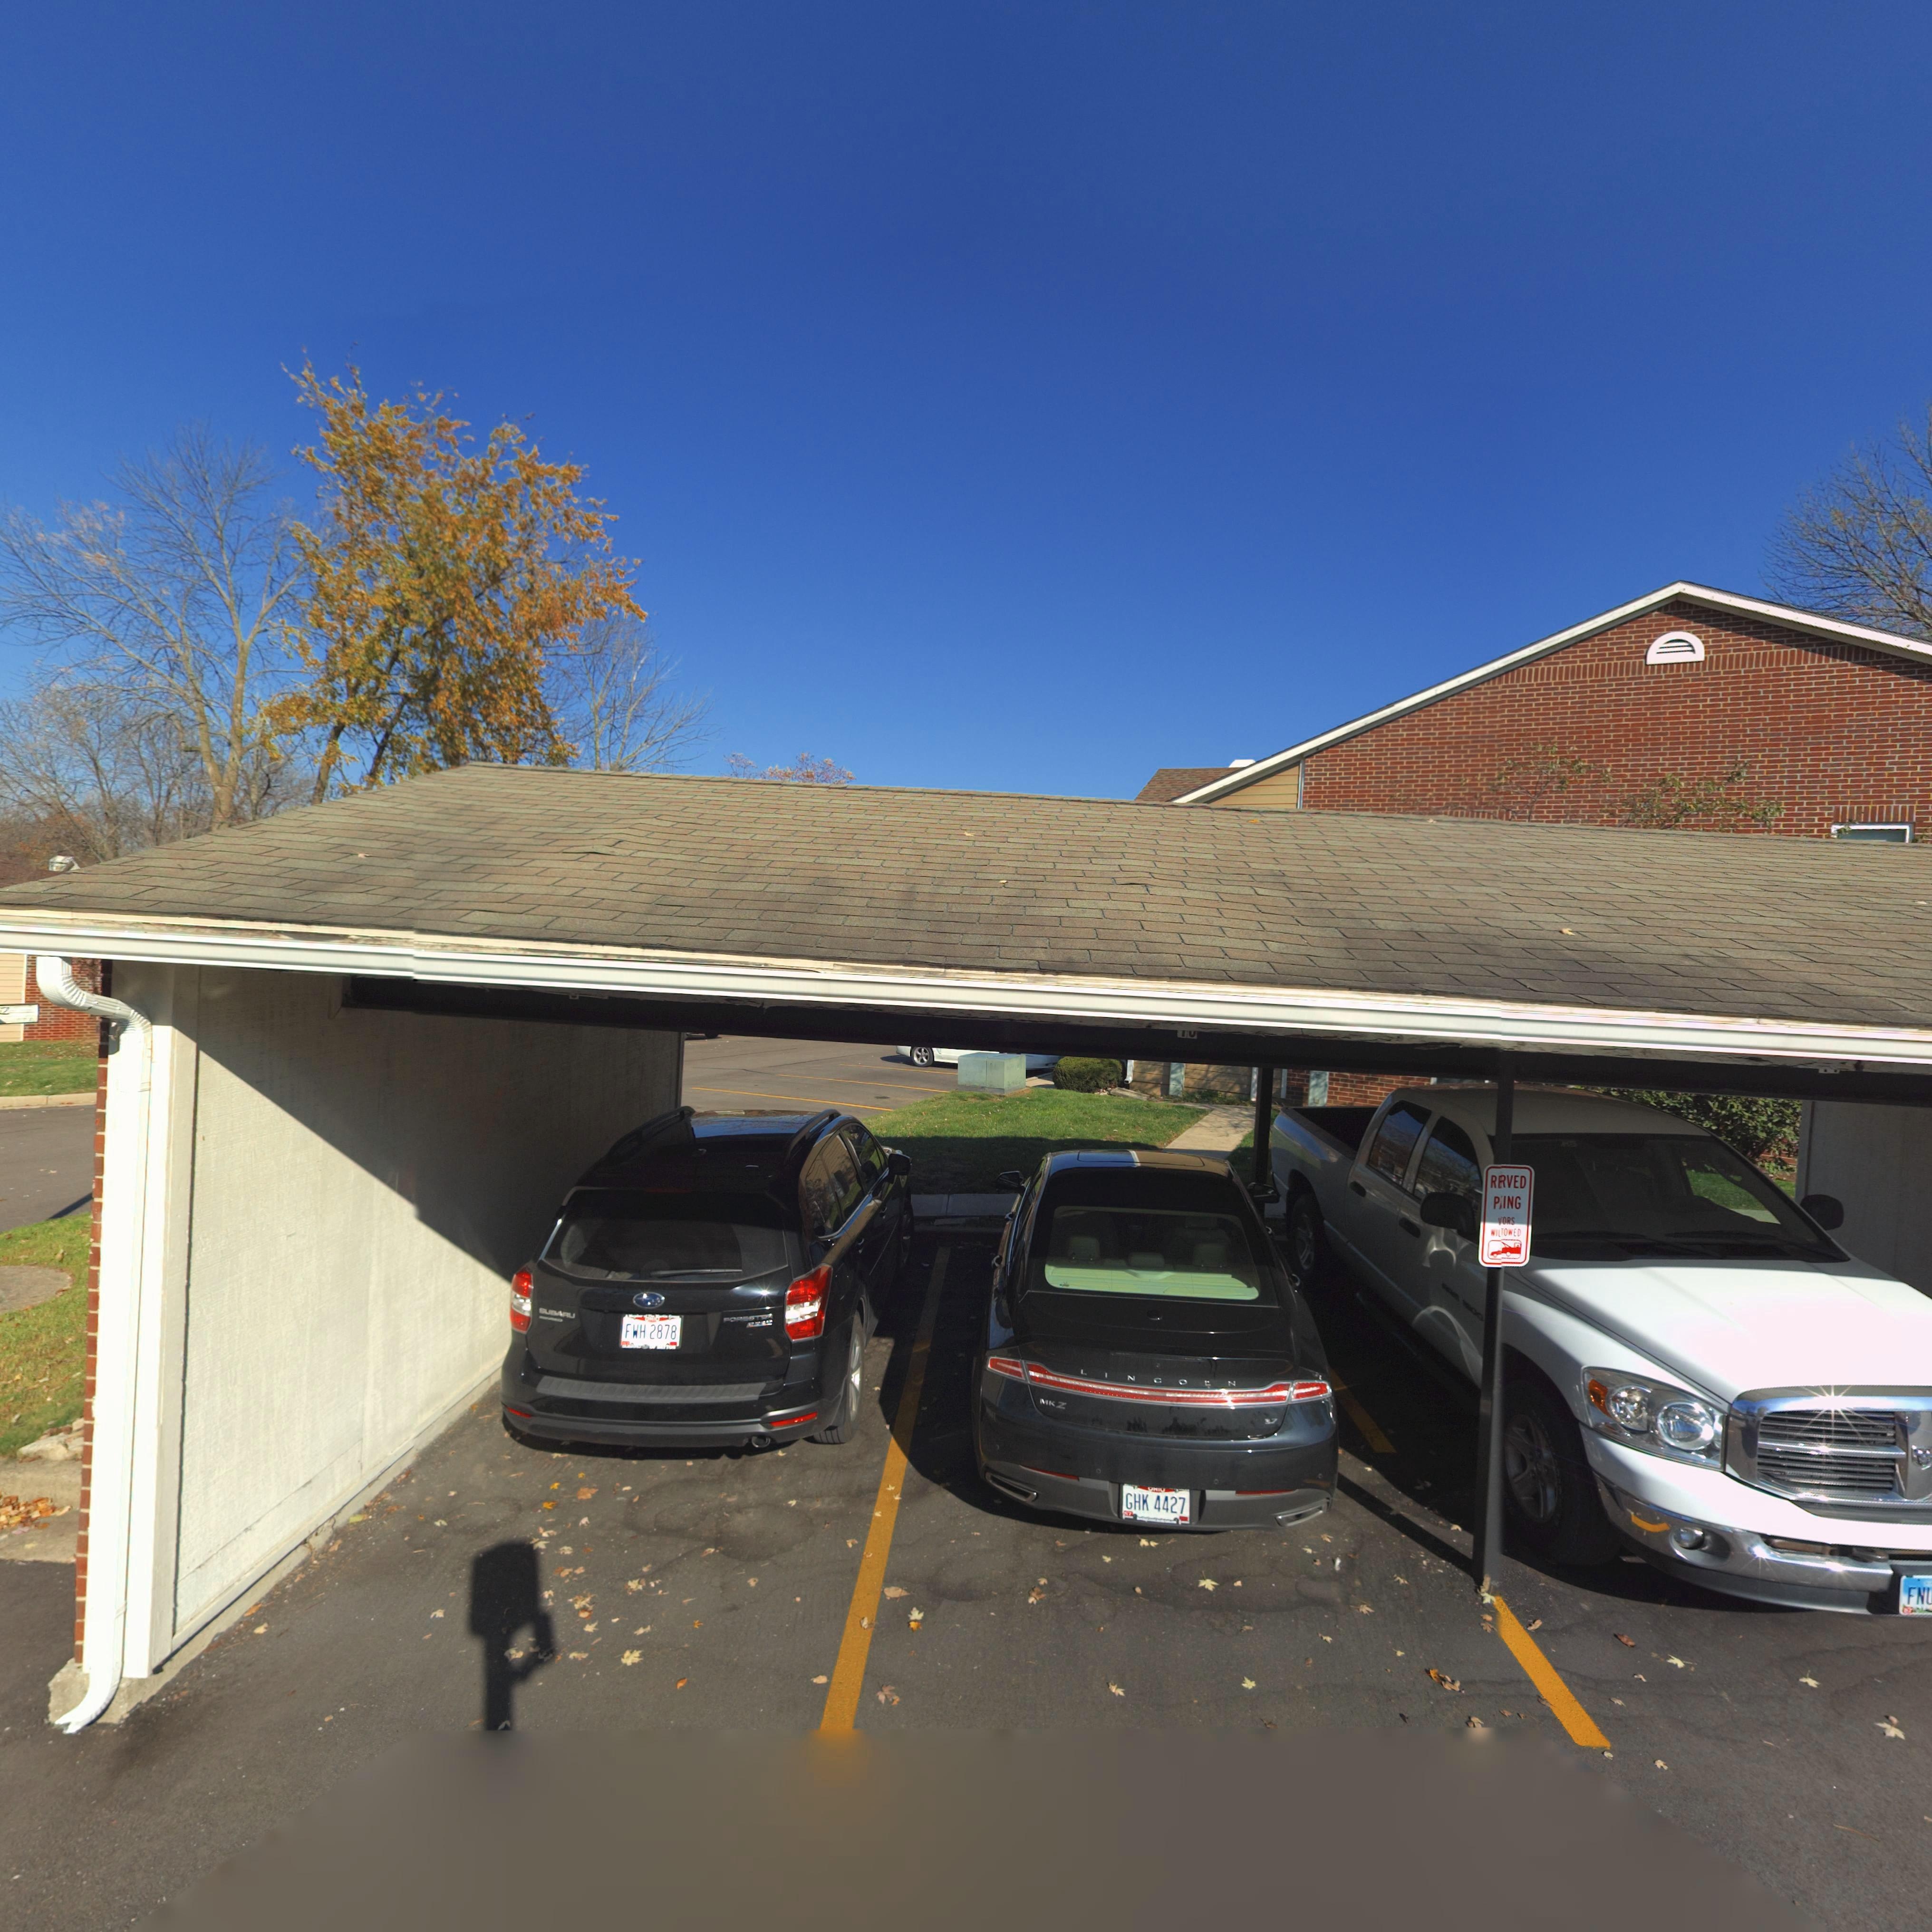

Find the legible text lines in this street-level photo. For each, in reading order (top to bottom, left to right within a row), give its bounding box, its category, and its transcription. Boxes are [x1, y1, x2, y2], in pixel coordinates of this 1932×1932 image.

[1489, 1174, 1528, 1190] None: E**VED
[1492, 1195, 1523, 1211] None: P*ING
[1496, 1215, 1516, 1227] None: *ORS
[1488, 1227, 1523, 1238] None: WI**OWED
[538, 1307, 576, 1320] None: *U*A*U
[624, 1323, 678, 1341] None: FWH 2878
[1079, 1368, 1237, 1389] None: LINCO*N
[1038, 1397, 1068, 1410] None: MKZ
[1125, 1492, 1187, 1515] None: GHK 4427
[1906, 1585, 1926, 1607] None: FN